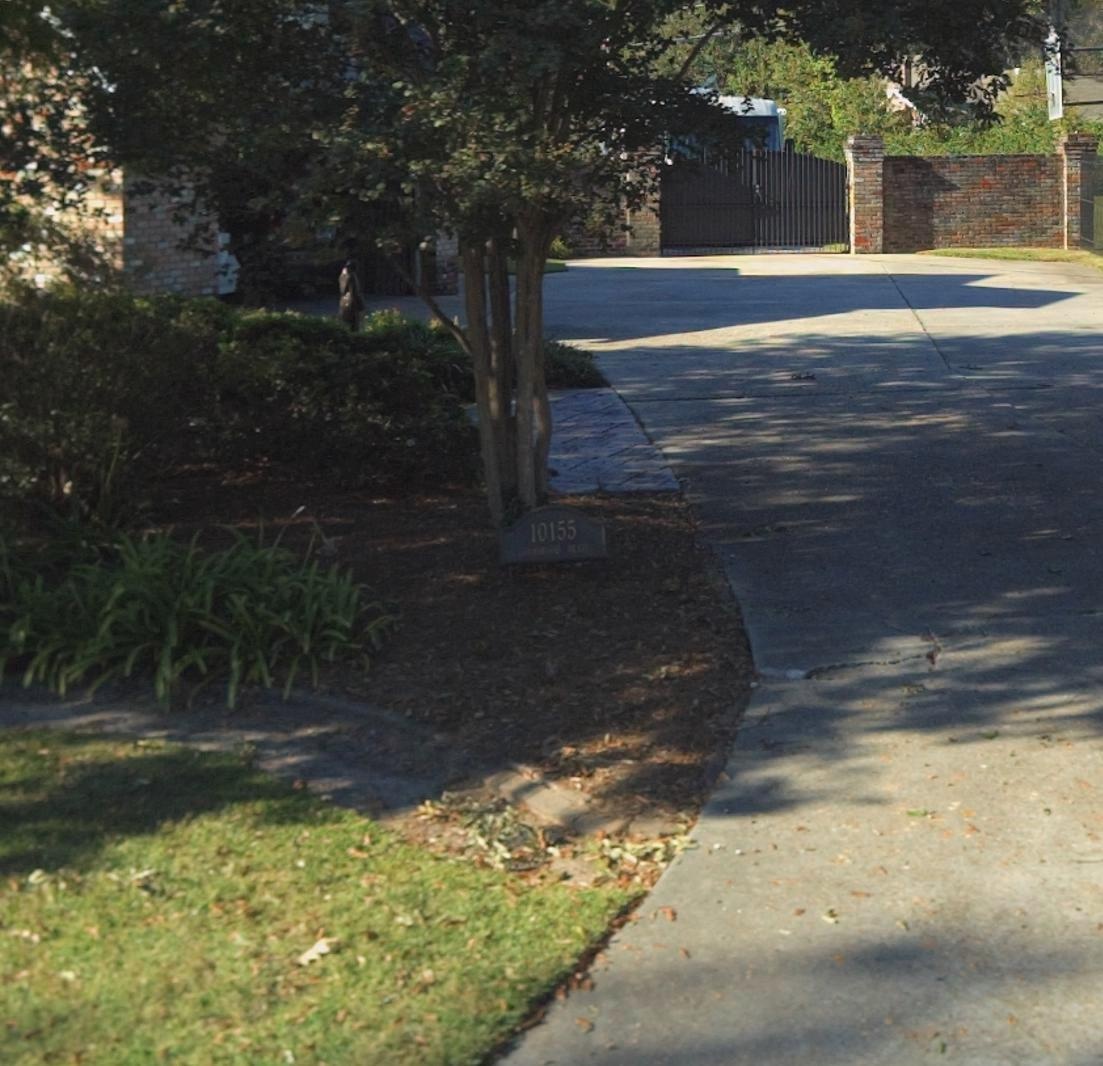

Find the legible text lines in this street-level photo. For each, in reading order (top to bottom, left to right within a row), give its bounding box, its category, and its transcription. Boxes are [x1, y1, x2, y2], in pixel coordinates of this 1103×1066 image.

[529, 518, 578, 545] StreetNumber: 10155